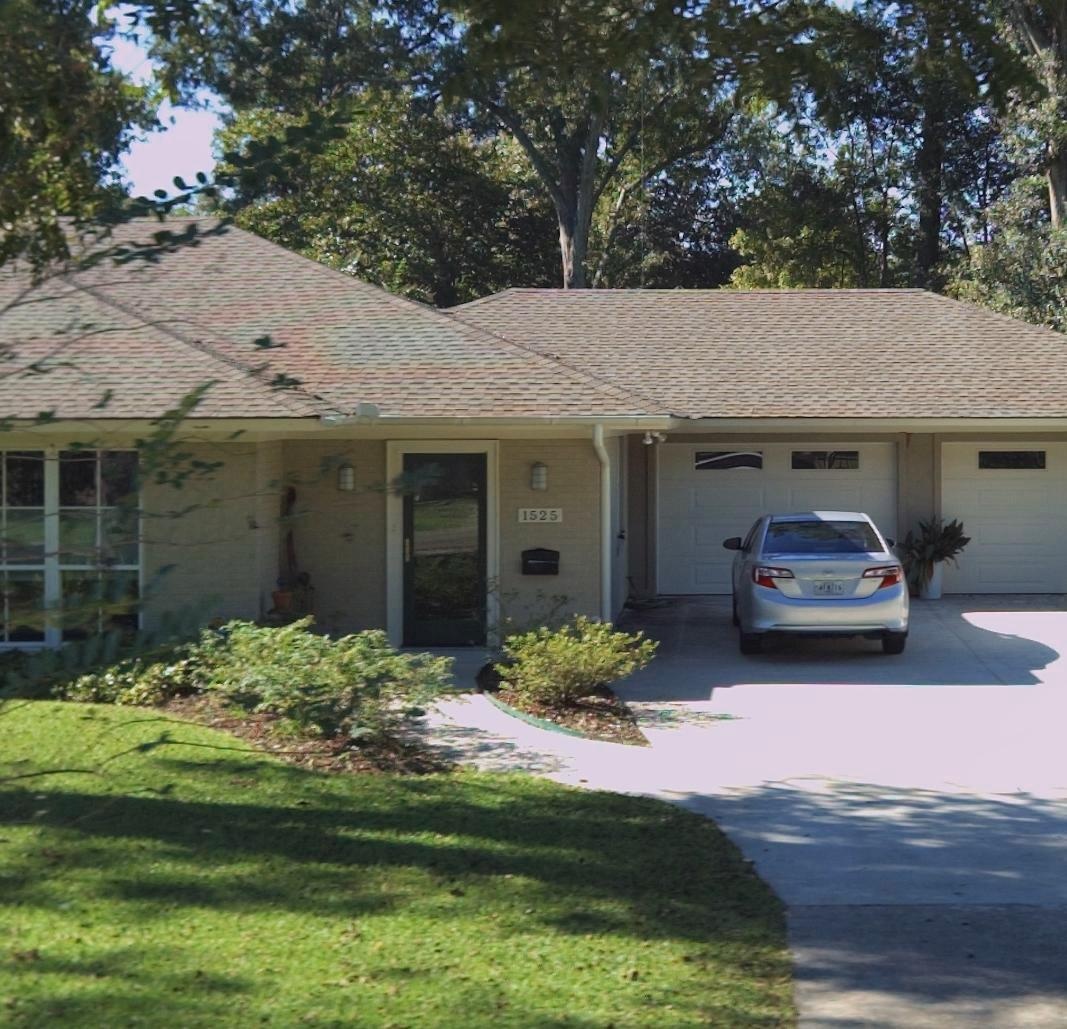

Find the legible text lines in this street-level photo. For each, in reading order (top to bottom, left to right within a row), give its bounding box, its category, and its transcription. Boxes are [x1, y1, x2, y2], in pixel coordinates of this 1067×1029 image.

[521, 508, 560, 523] StreetNumber: 1525